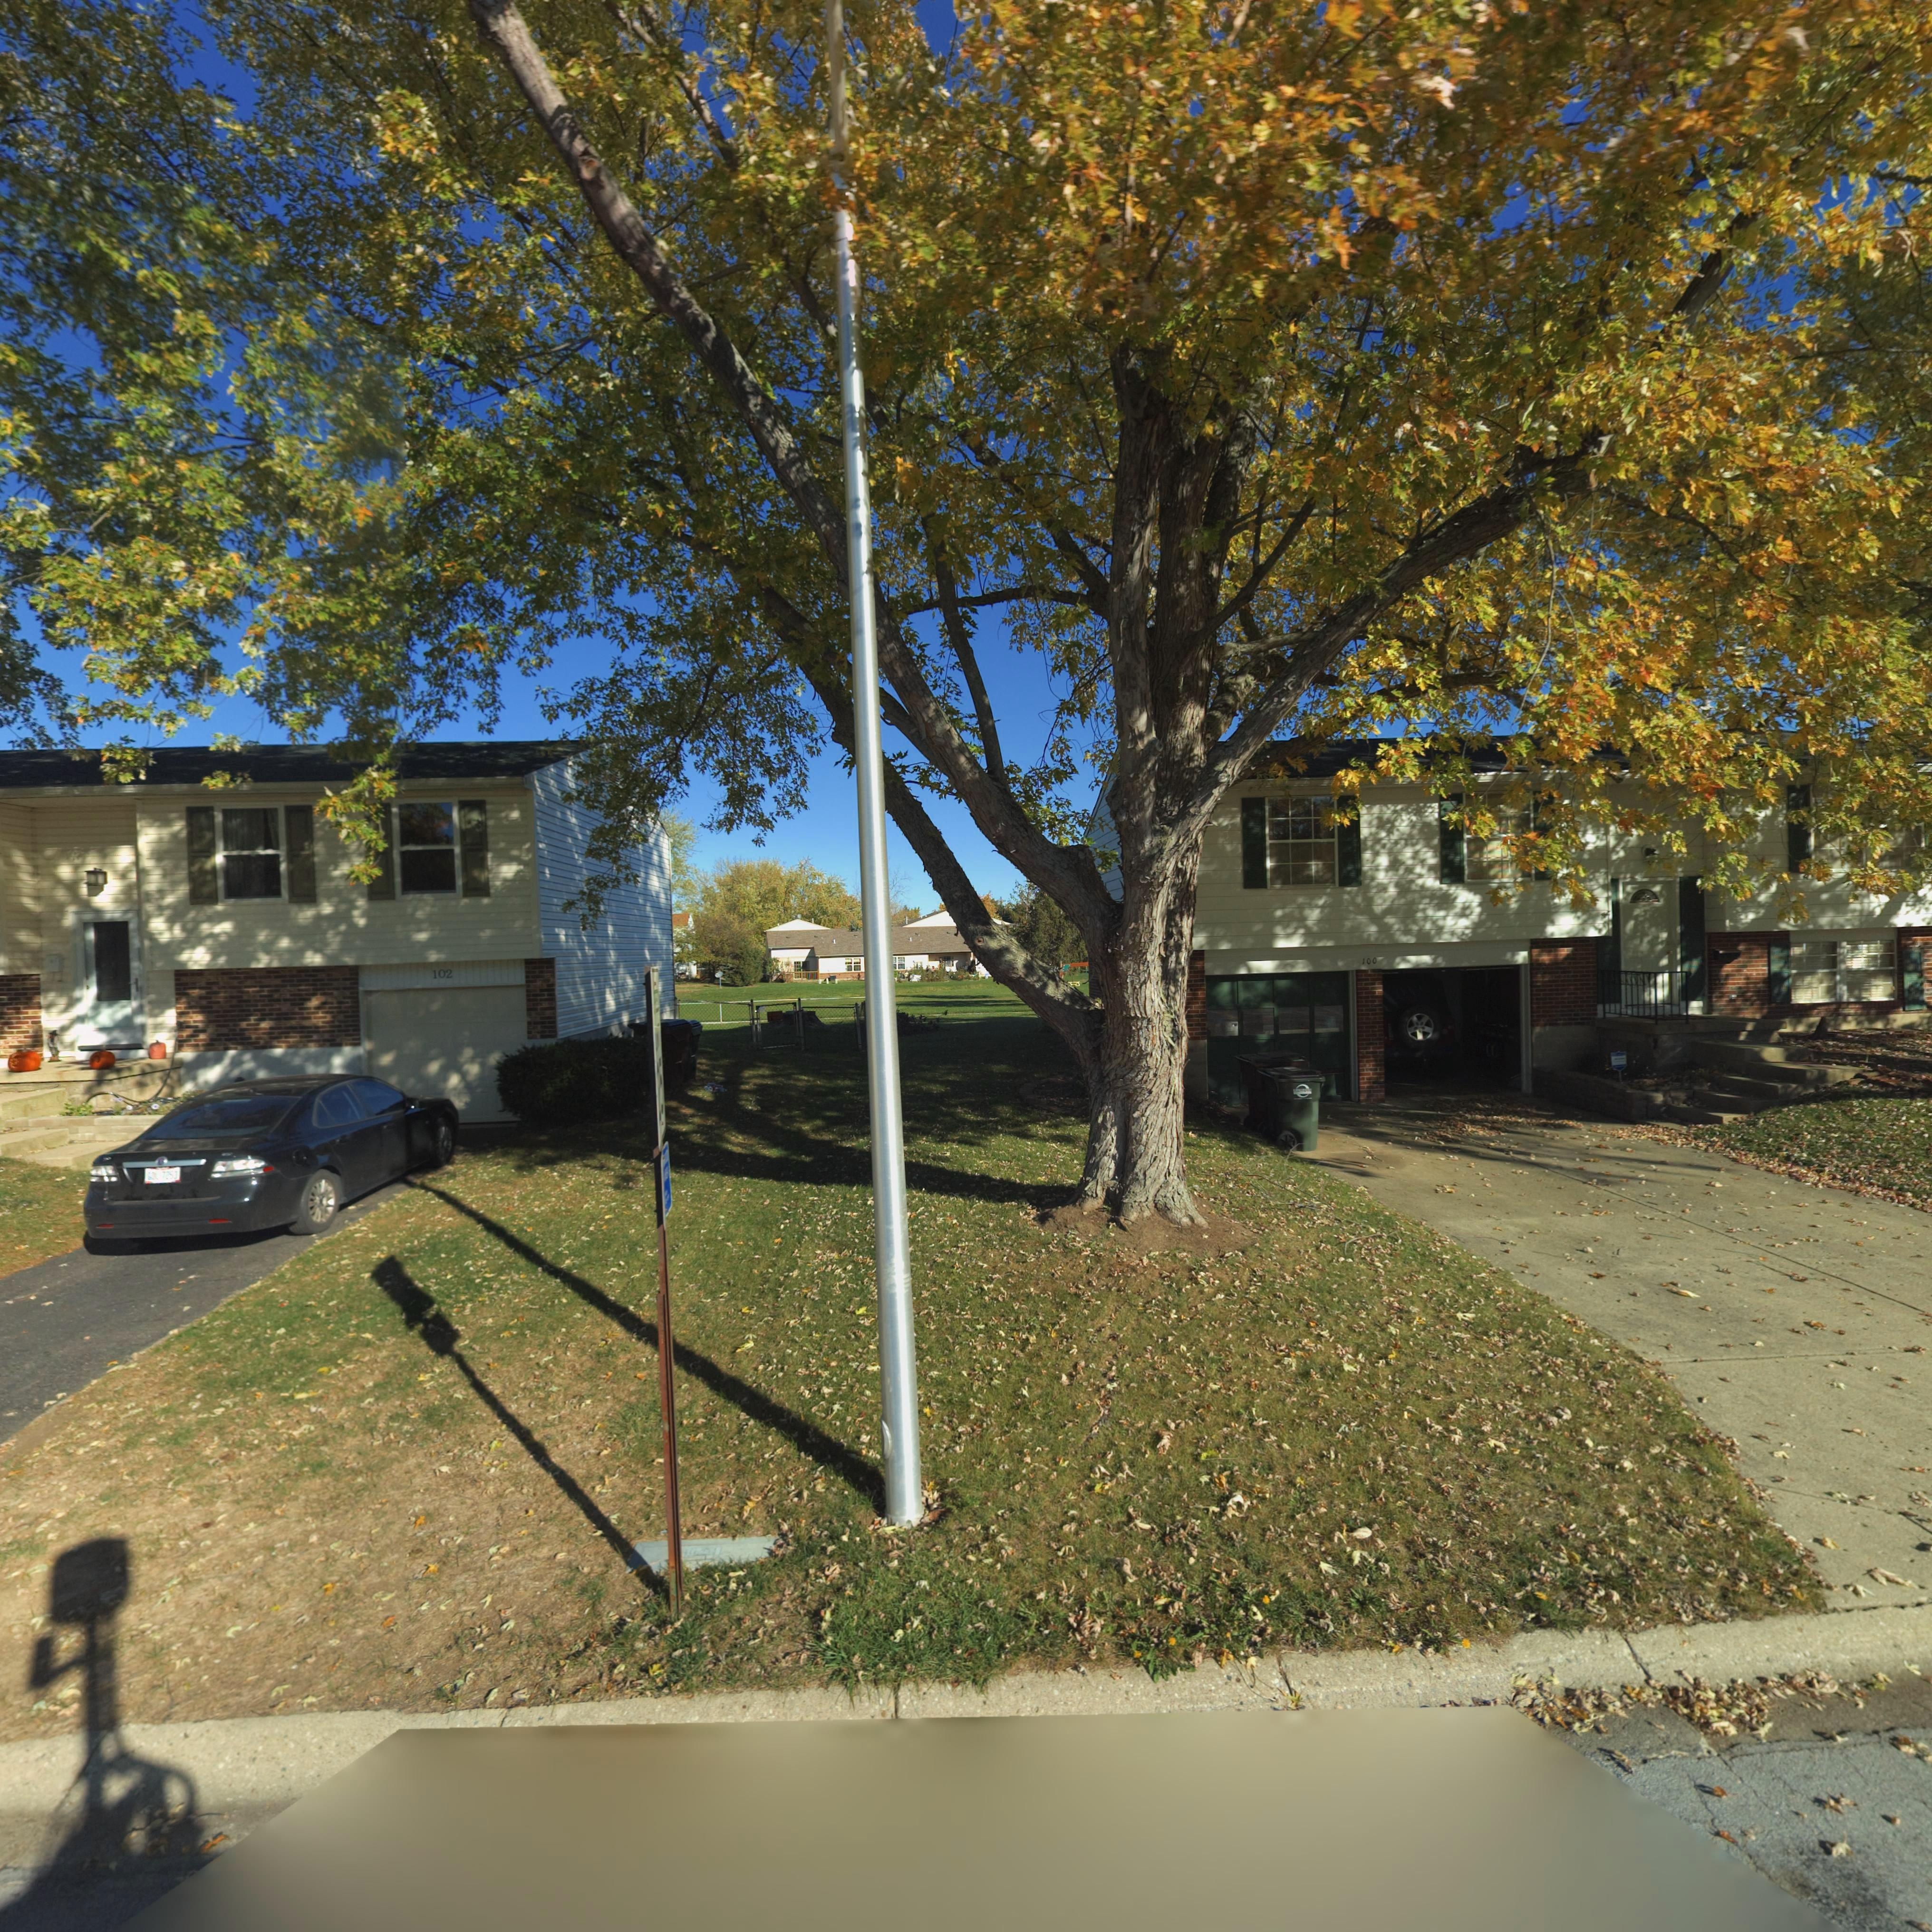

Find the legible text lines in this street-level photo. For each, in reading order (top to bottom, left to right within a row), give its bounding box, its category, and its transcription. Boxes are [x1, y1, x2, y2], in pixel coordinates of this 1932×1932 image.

[1362, 956, 1377, 965] StreetNumber: 100
[432, 968, 453, 980] StreetNumber: 102